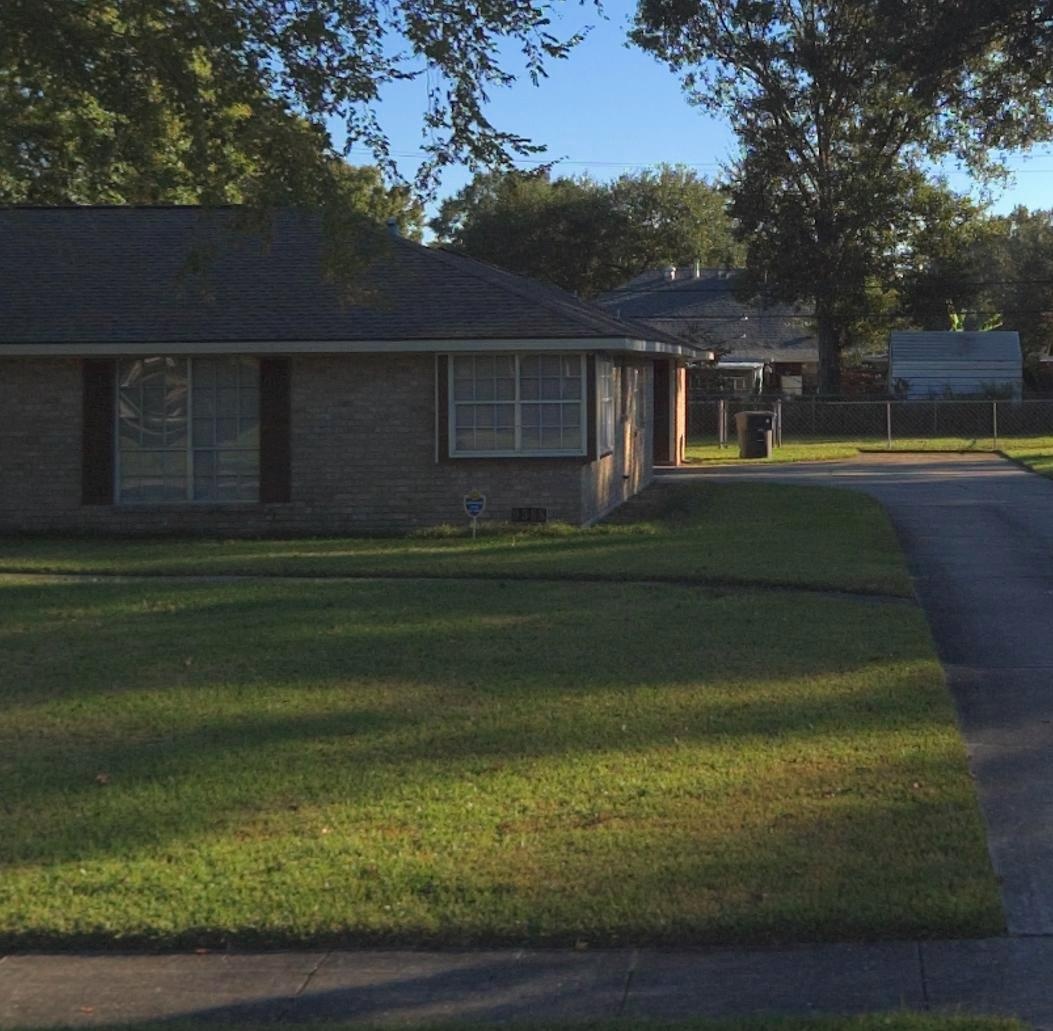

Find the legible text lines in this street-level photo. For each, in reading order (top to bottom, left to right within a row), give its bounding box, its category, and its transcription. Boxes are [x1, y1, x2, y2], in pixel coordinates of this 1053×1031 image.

[511, 508, 546, 522] StreetNumber: 9388